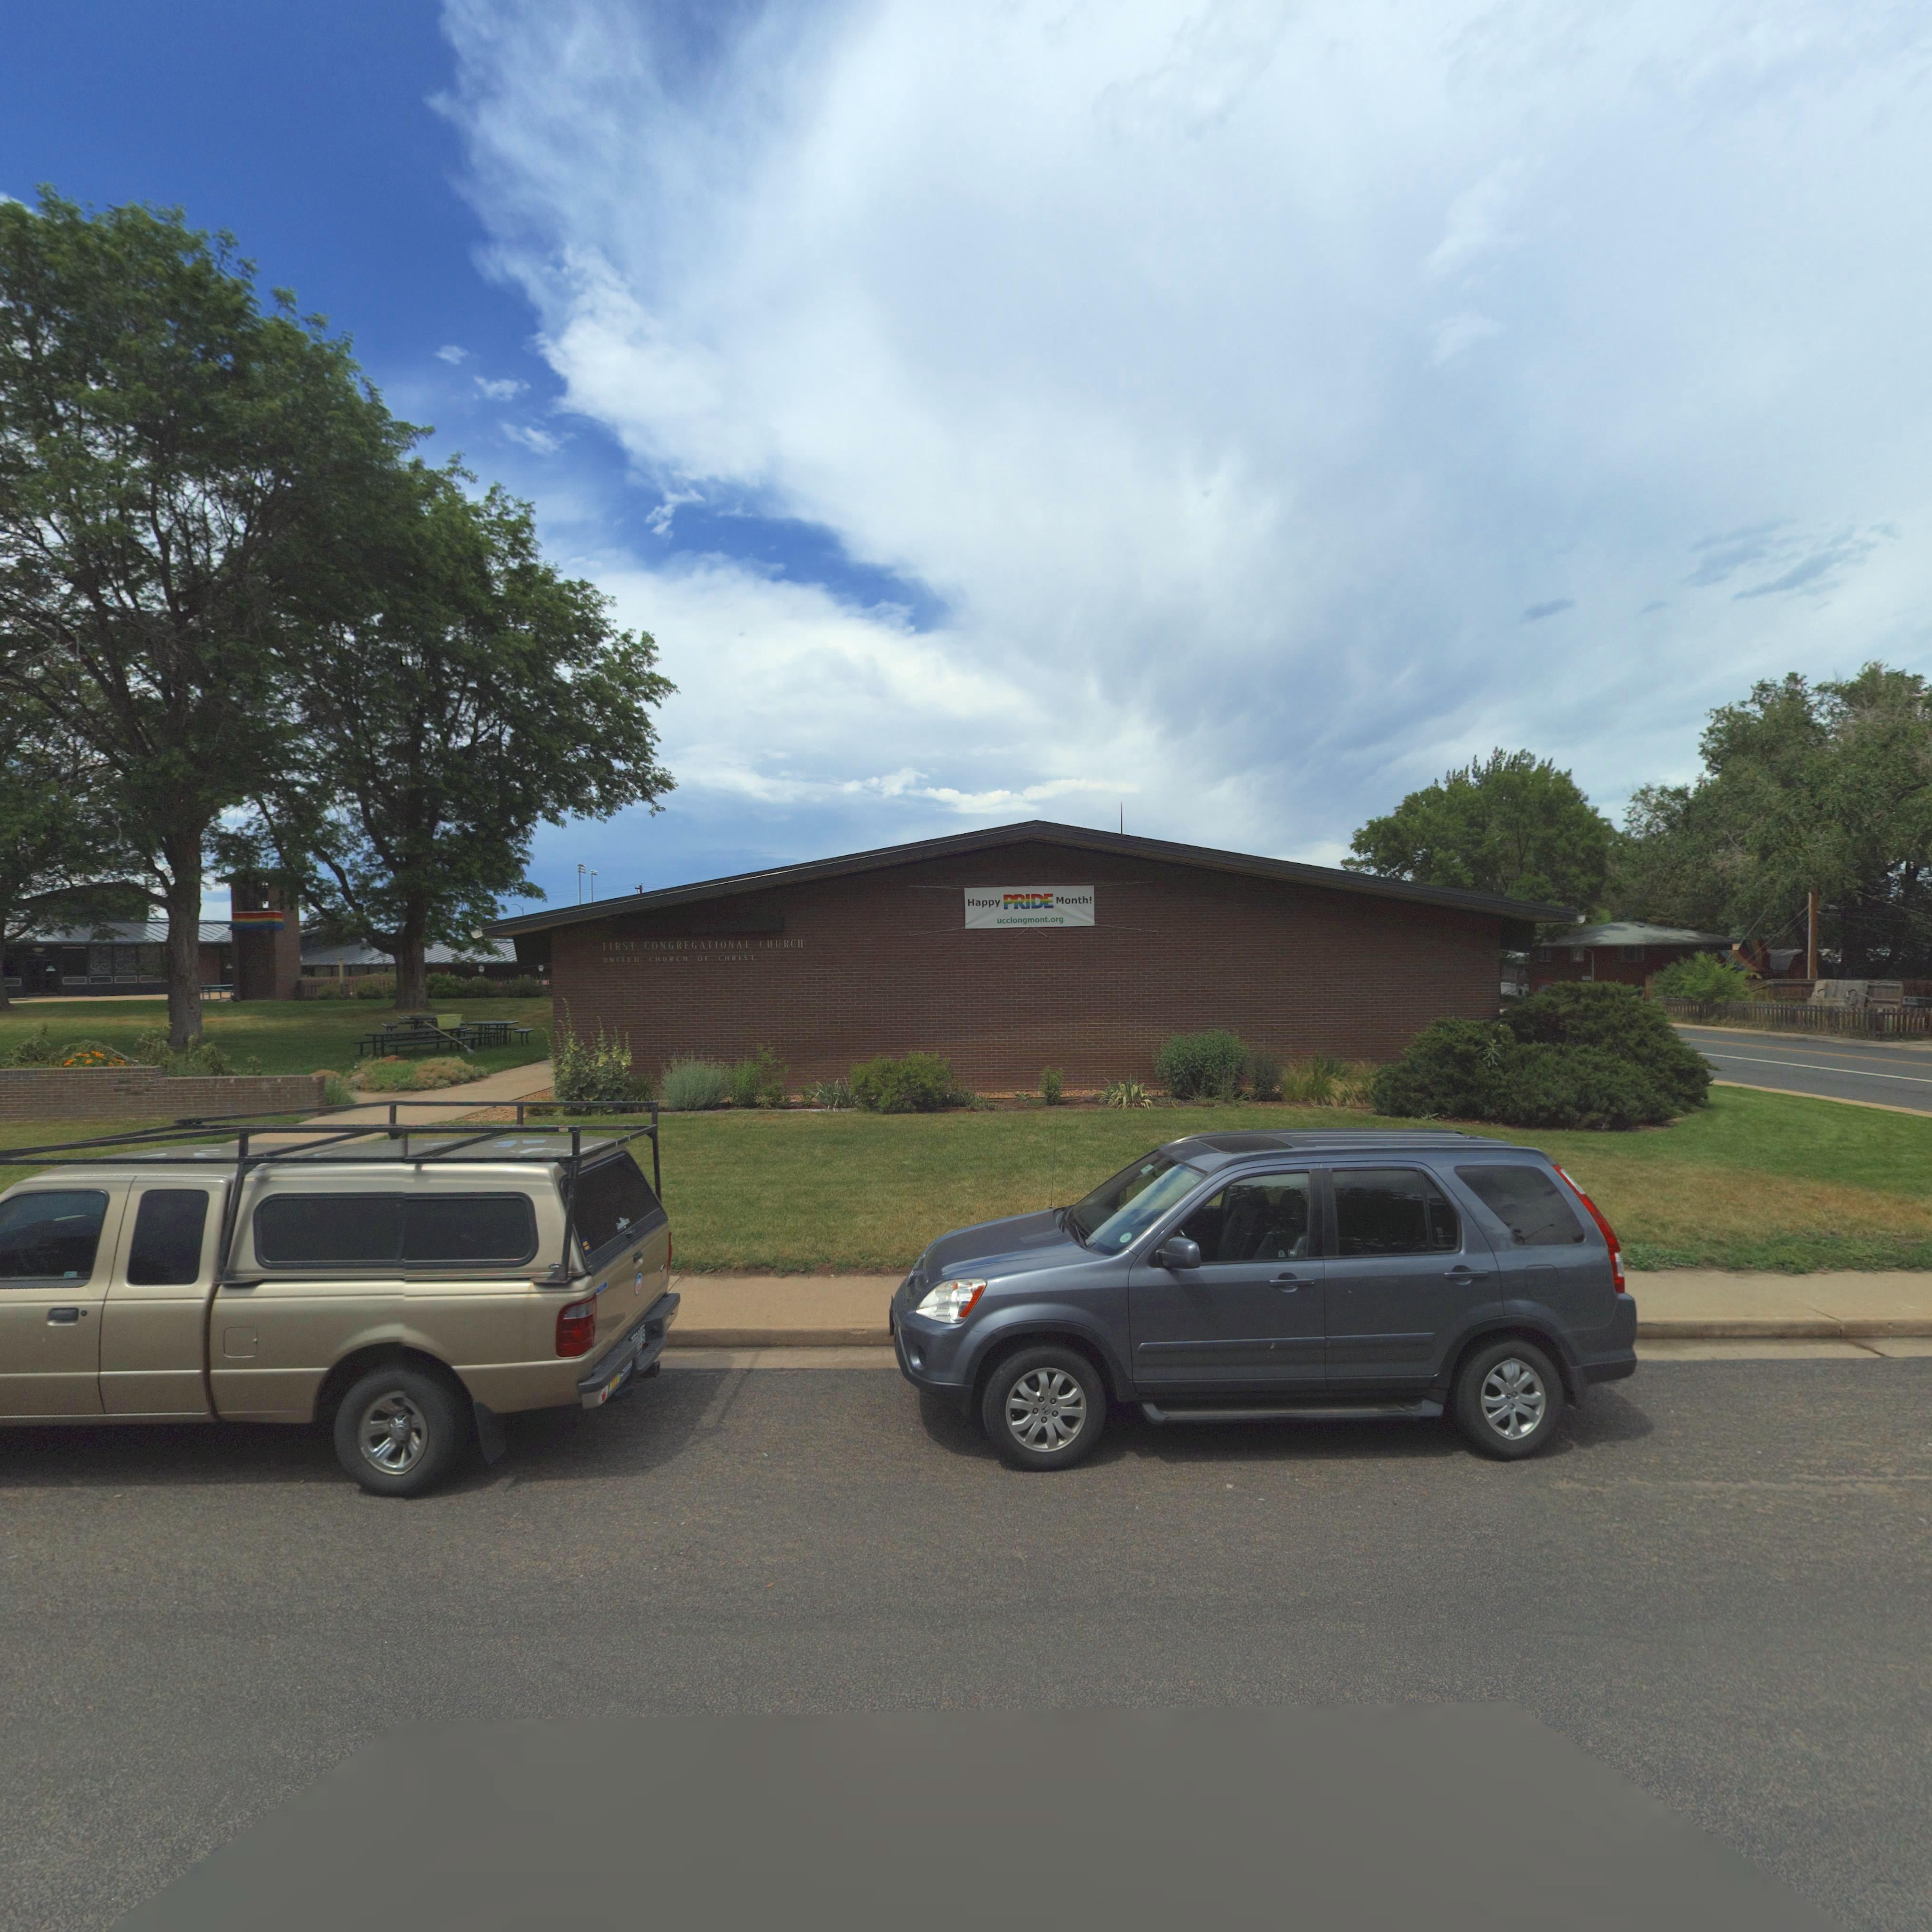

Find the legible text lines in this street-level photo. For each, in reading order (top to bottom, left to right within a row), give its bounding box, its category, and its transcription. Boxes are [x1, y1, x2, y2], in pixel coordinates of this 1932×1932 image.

[602, 938, 803, 951] BusinessName: FIRST CONGREGATIONAL CHURCH
[602, 955, 755, 963] BusinessName: UNITED CHURCH OF CHRIST